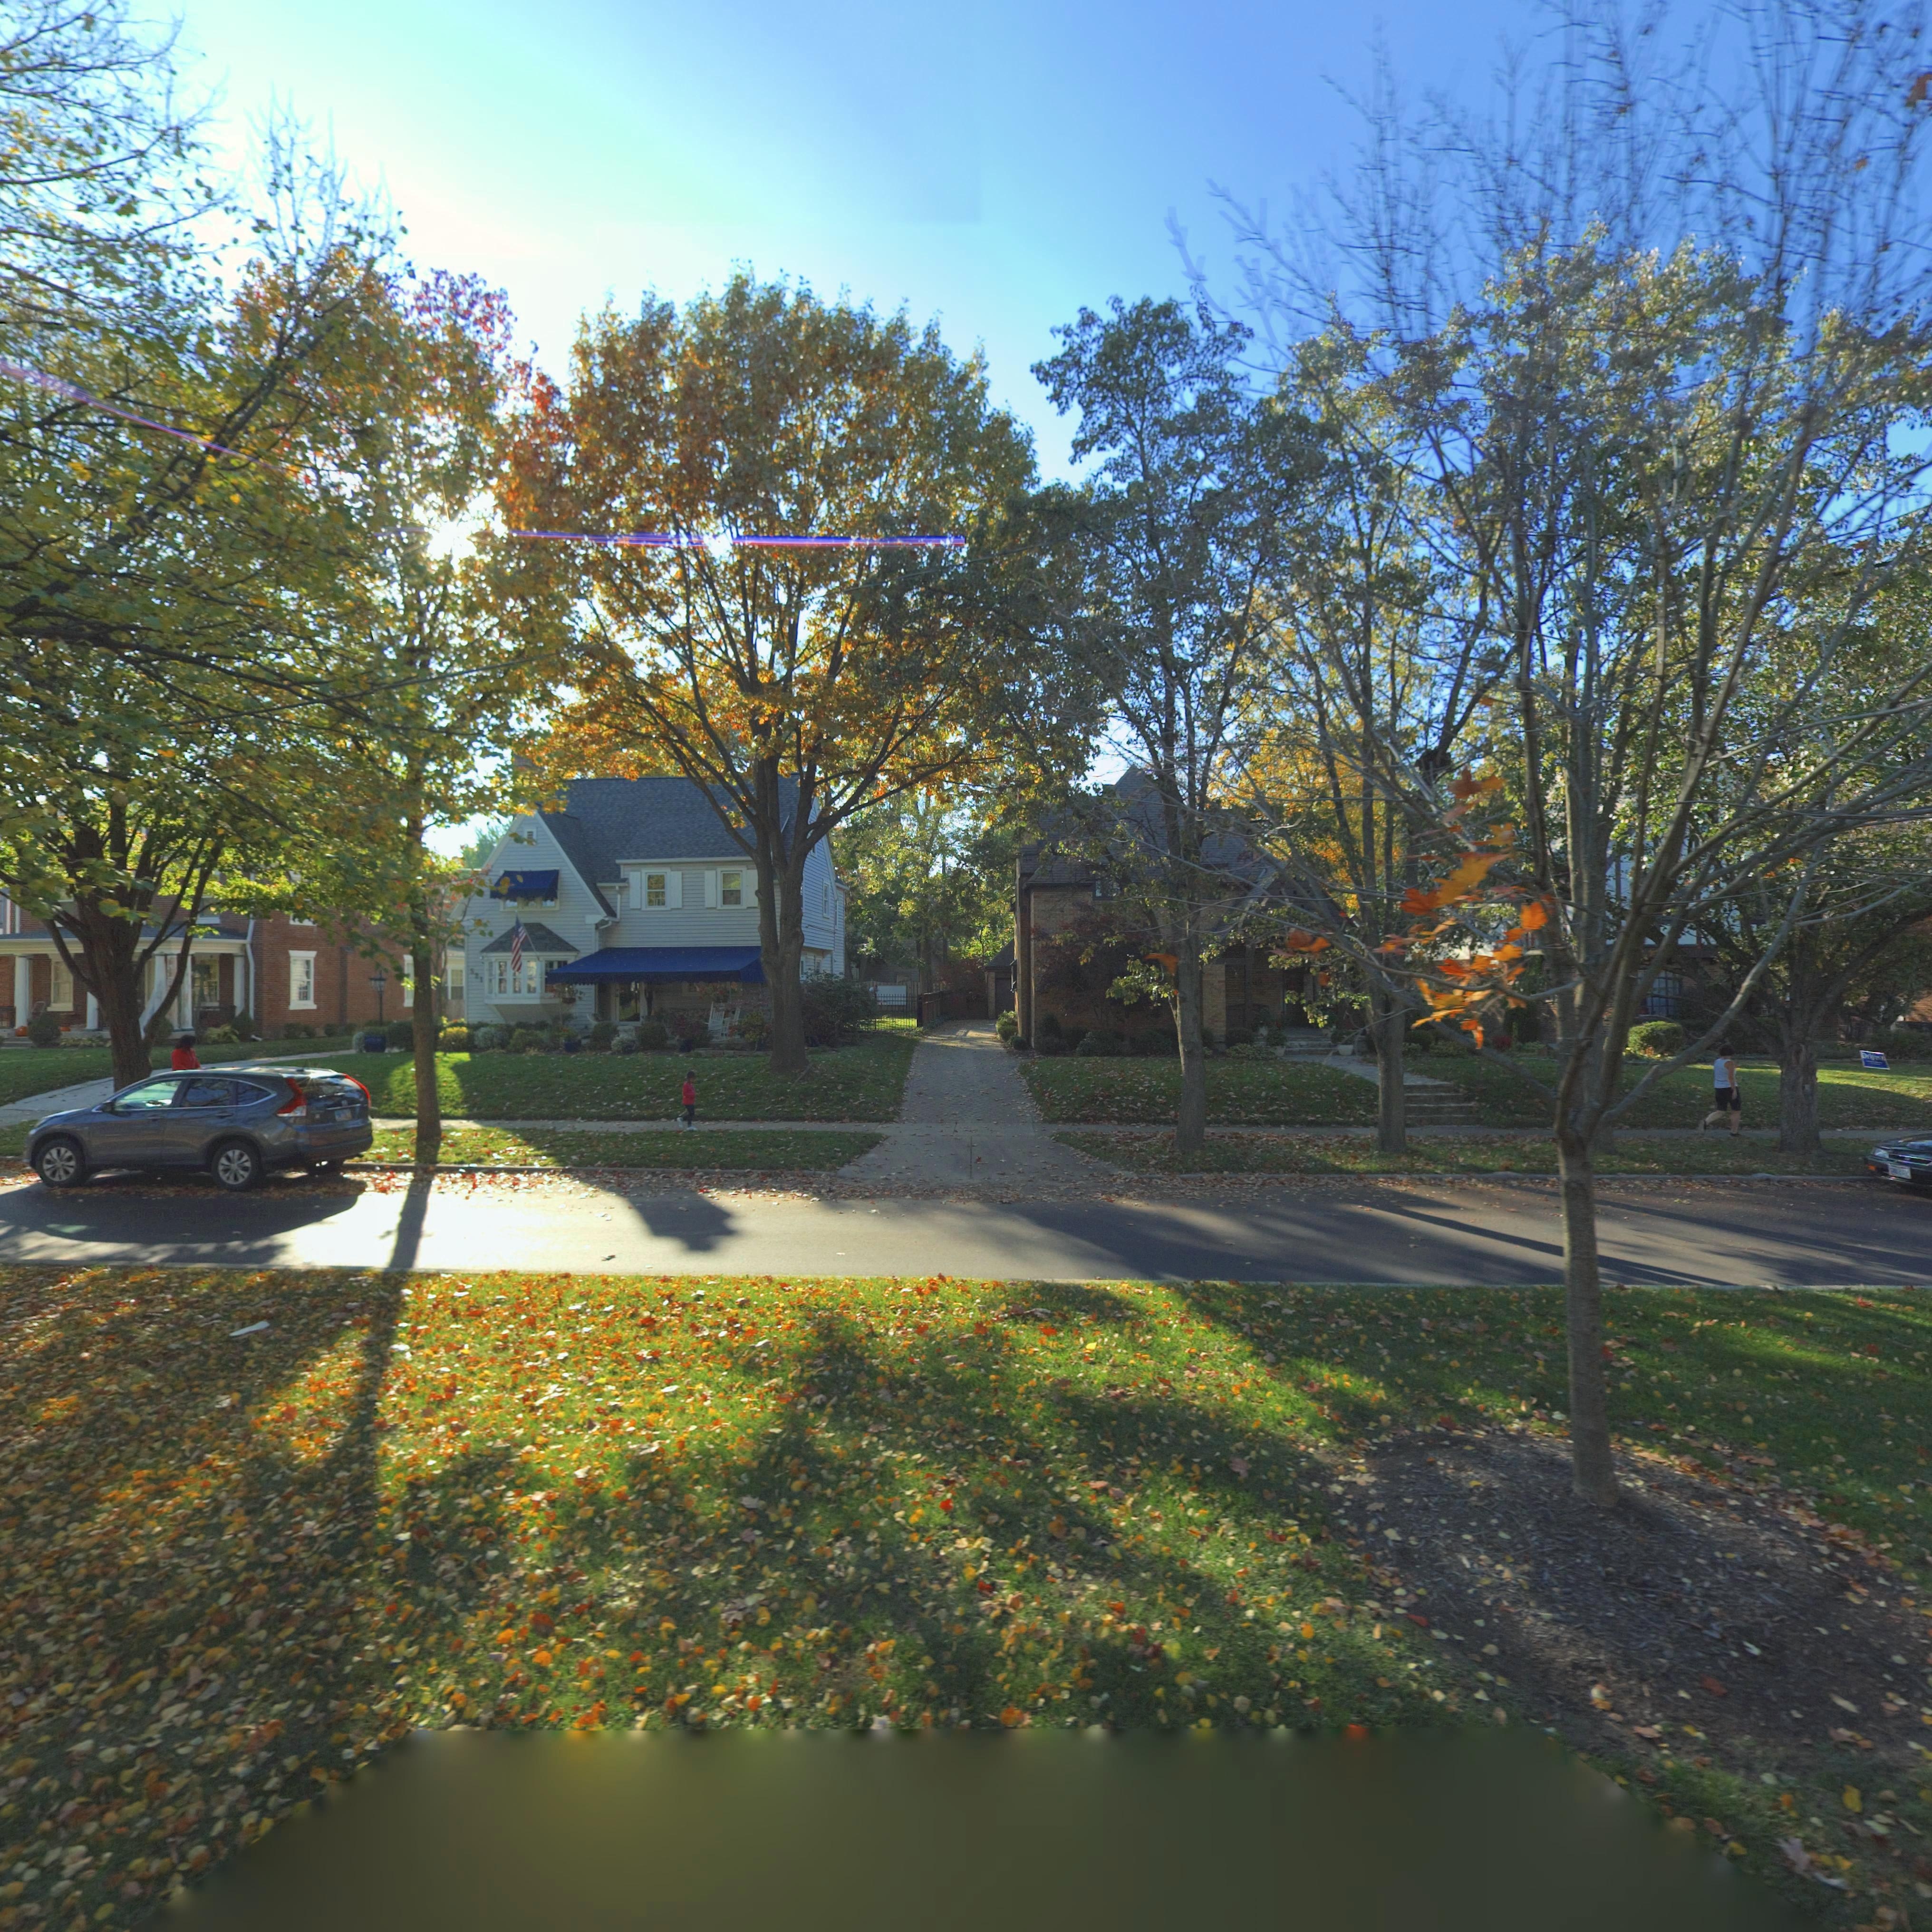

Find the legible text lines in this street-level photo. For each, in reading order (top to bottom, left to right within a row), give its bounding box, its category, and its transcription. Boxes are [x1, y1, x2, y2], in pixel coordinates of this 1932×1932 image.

[468, 966, 483, 984] StreetNumber: 521